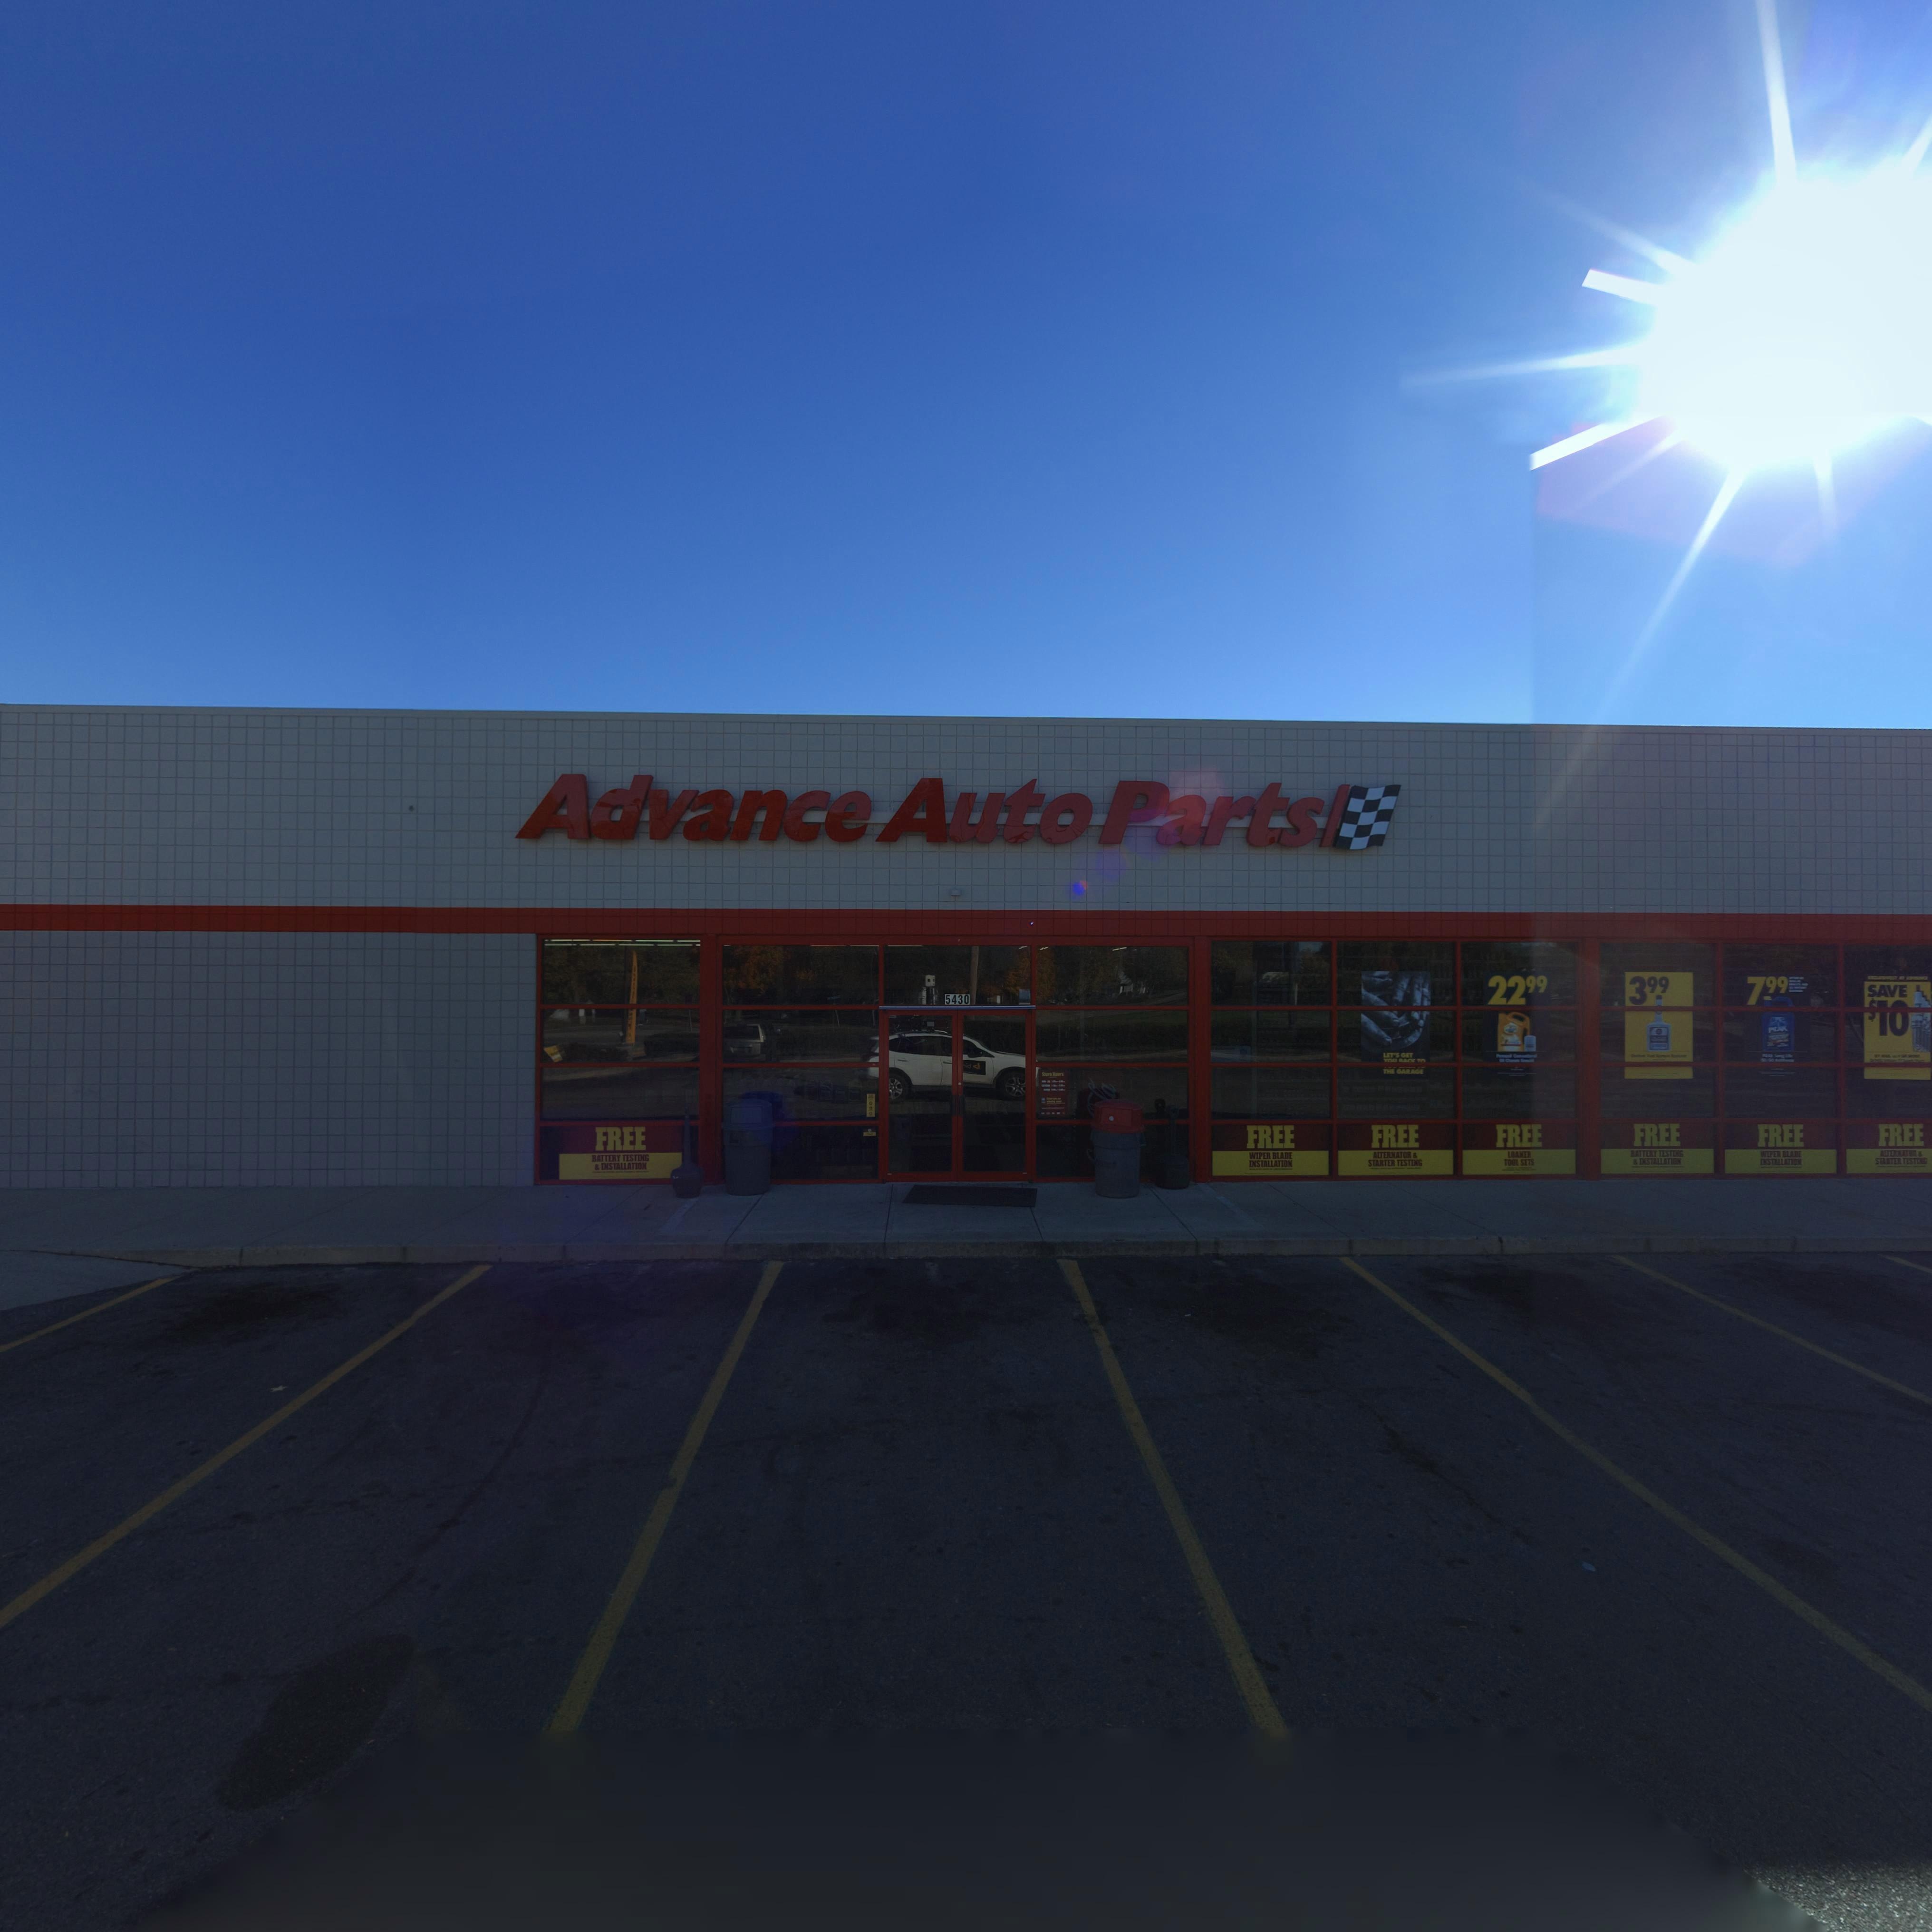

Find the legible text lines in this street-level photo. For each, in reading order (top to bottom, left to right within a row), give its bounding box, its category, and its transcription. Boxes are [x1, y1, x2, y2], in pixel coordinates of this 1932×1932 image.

[945, 994, 970, 1005] StreetNumber: 5430